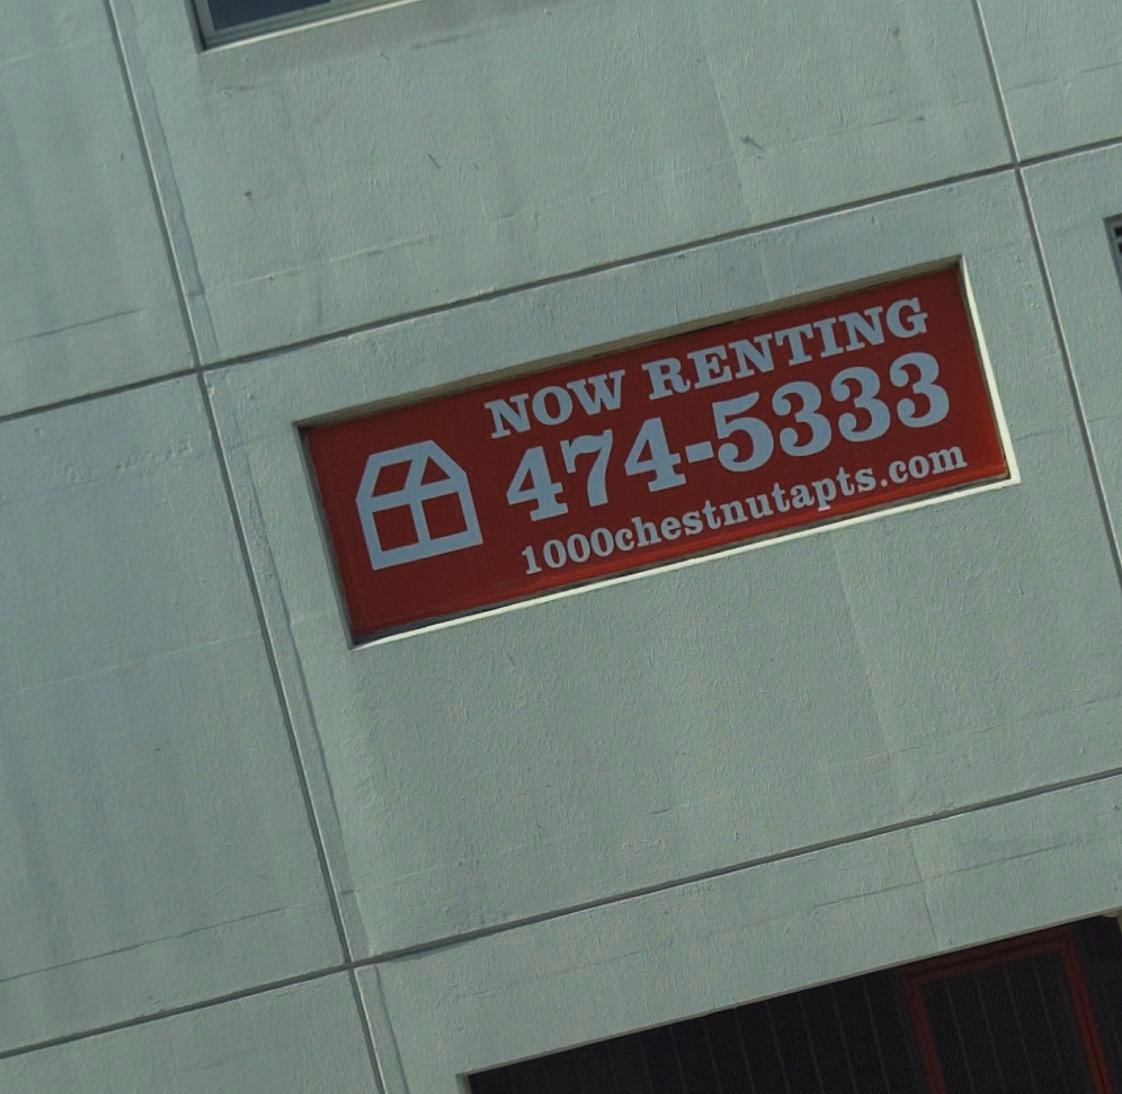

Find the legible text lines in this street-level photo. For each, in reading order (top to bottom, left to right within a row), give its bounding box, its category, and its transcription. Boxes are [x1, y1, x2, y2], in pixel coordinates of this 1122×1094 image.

[481, 294, 930, 443] None: NOW RENTING
[502, 344, 955, 525] None: 474-5333
[519, 523, 616, 577] StreetNumber: 1000